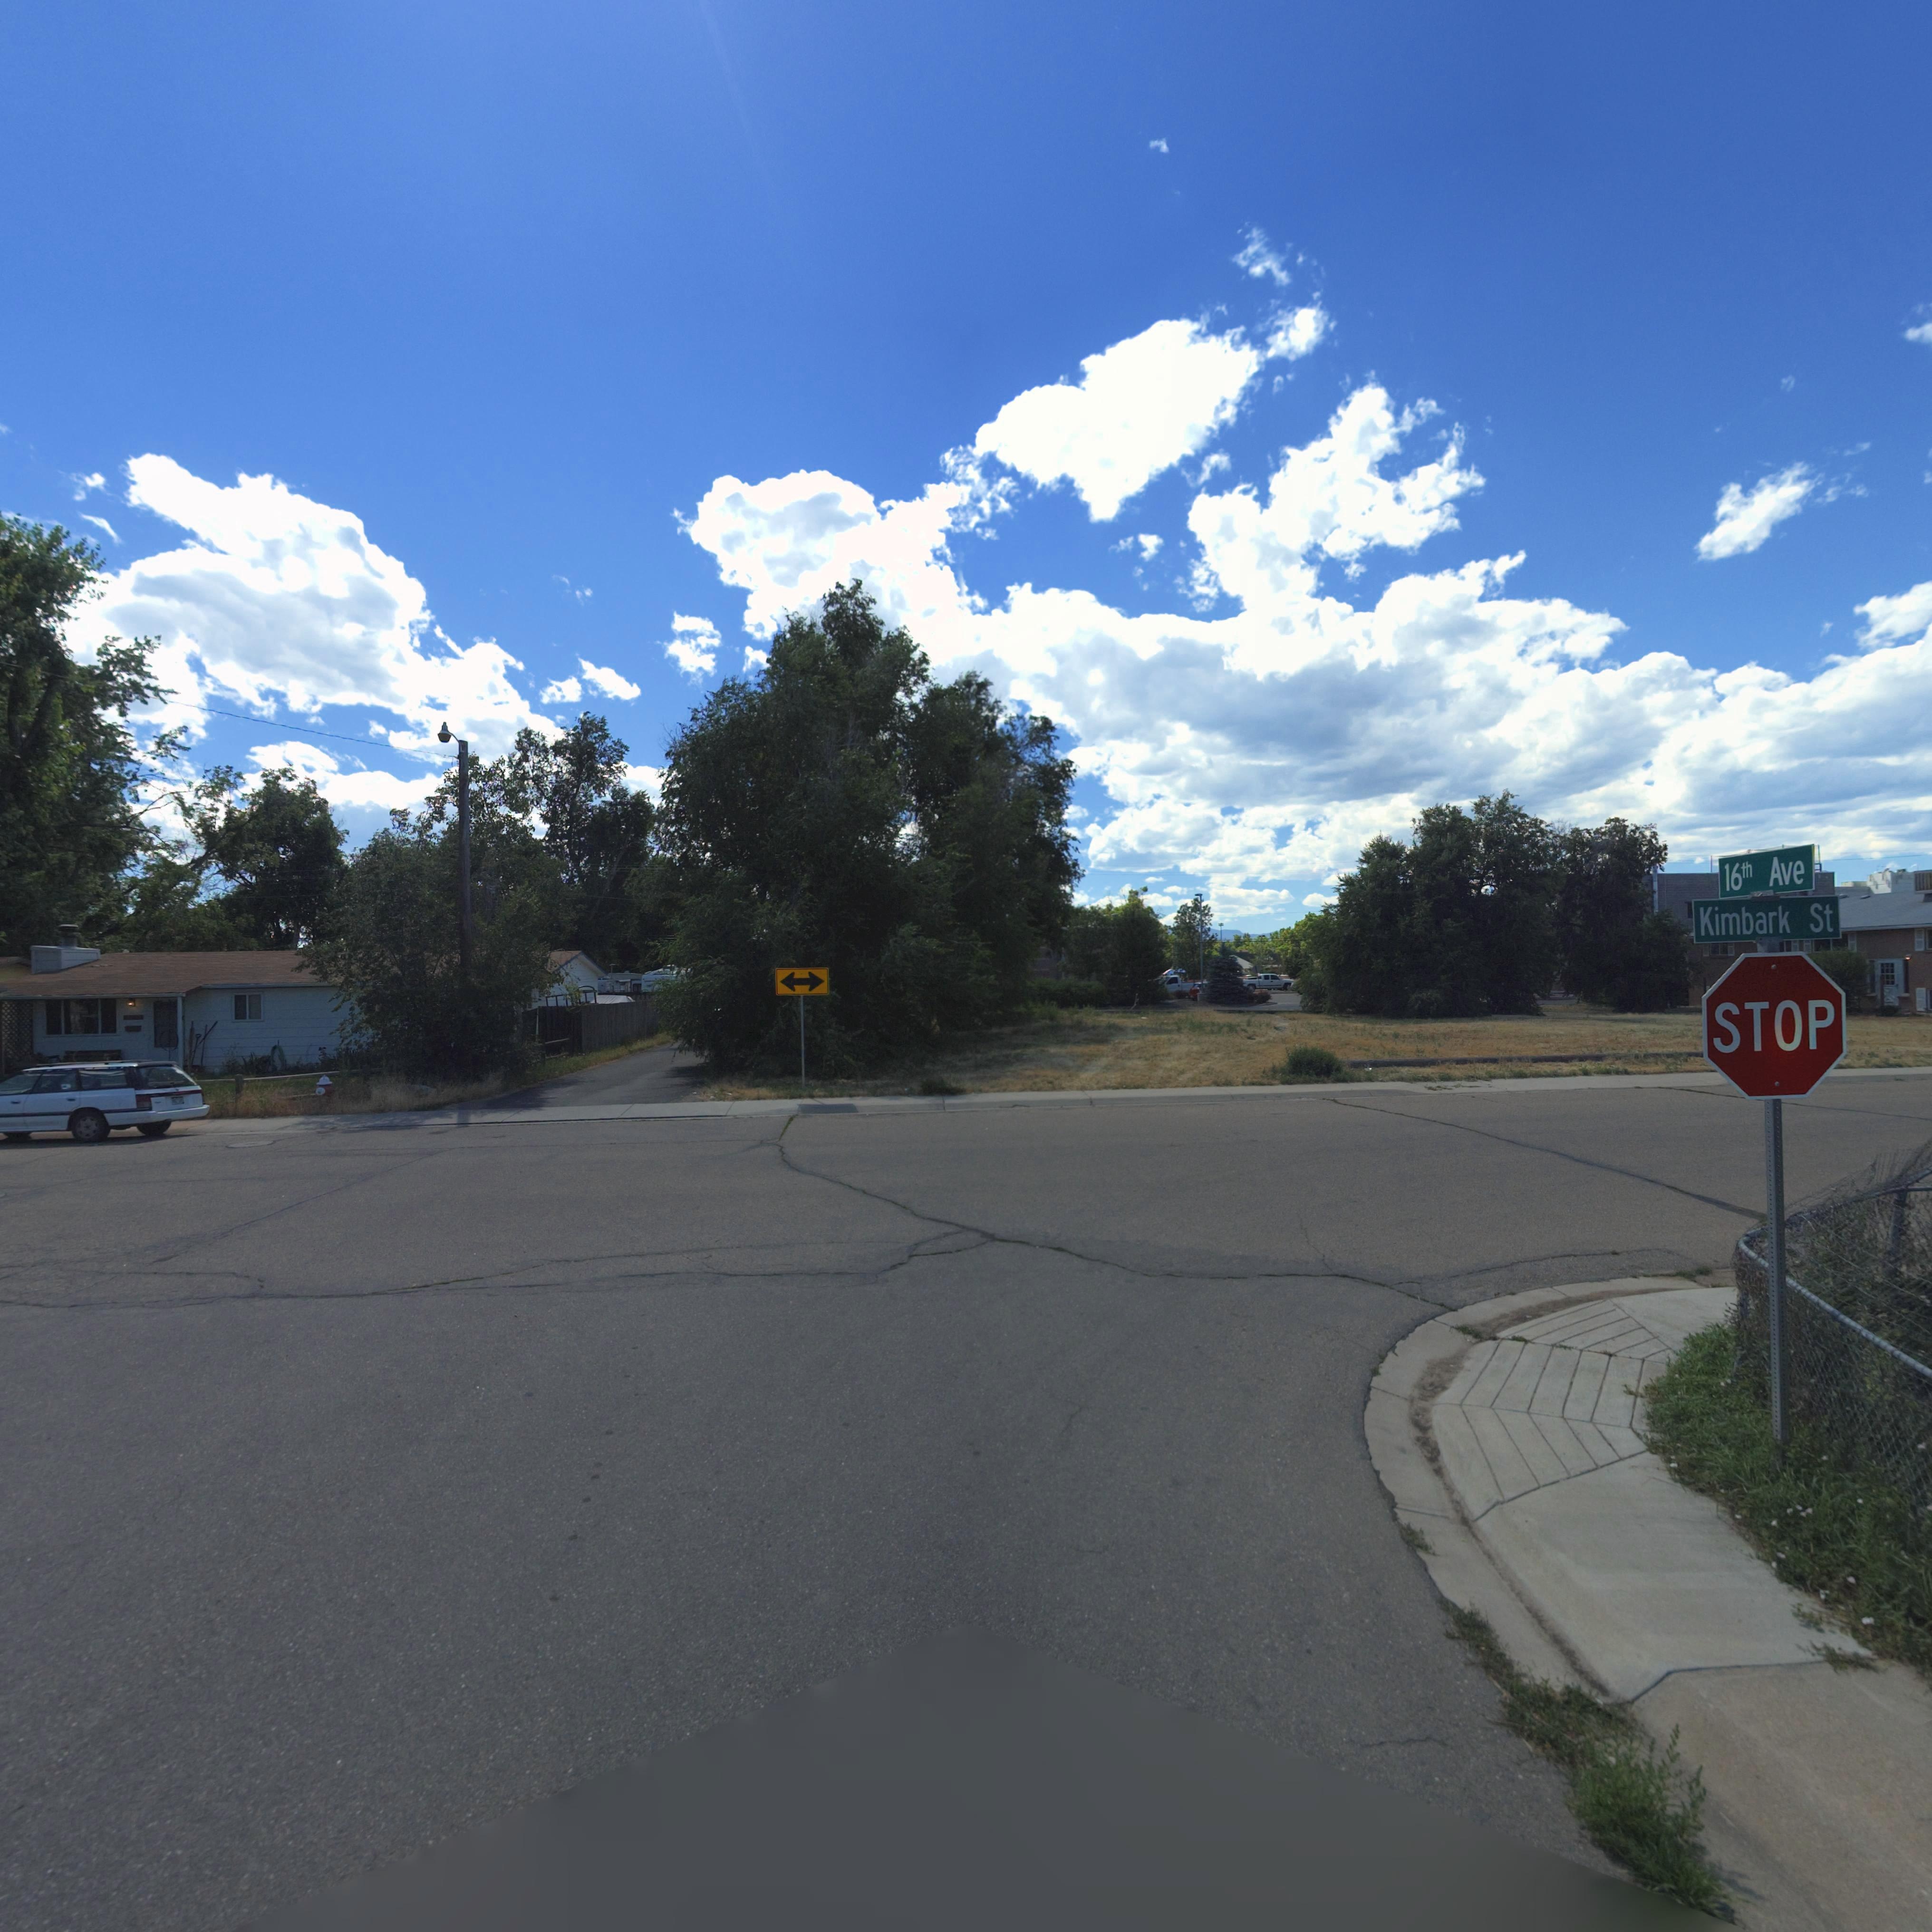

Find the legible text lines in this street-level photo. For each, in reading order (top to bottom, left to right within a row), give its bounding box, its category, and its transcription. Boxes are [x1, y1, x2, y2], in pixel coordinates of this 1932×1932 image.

[1723, 856, 1806, 891] StreetName: 16th Ave
[1700, 903, 1833, 936] StreetName: Kimbark St